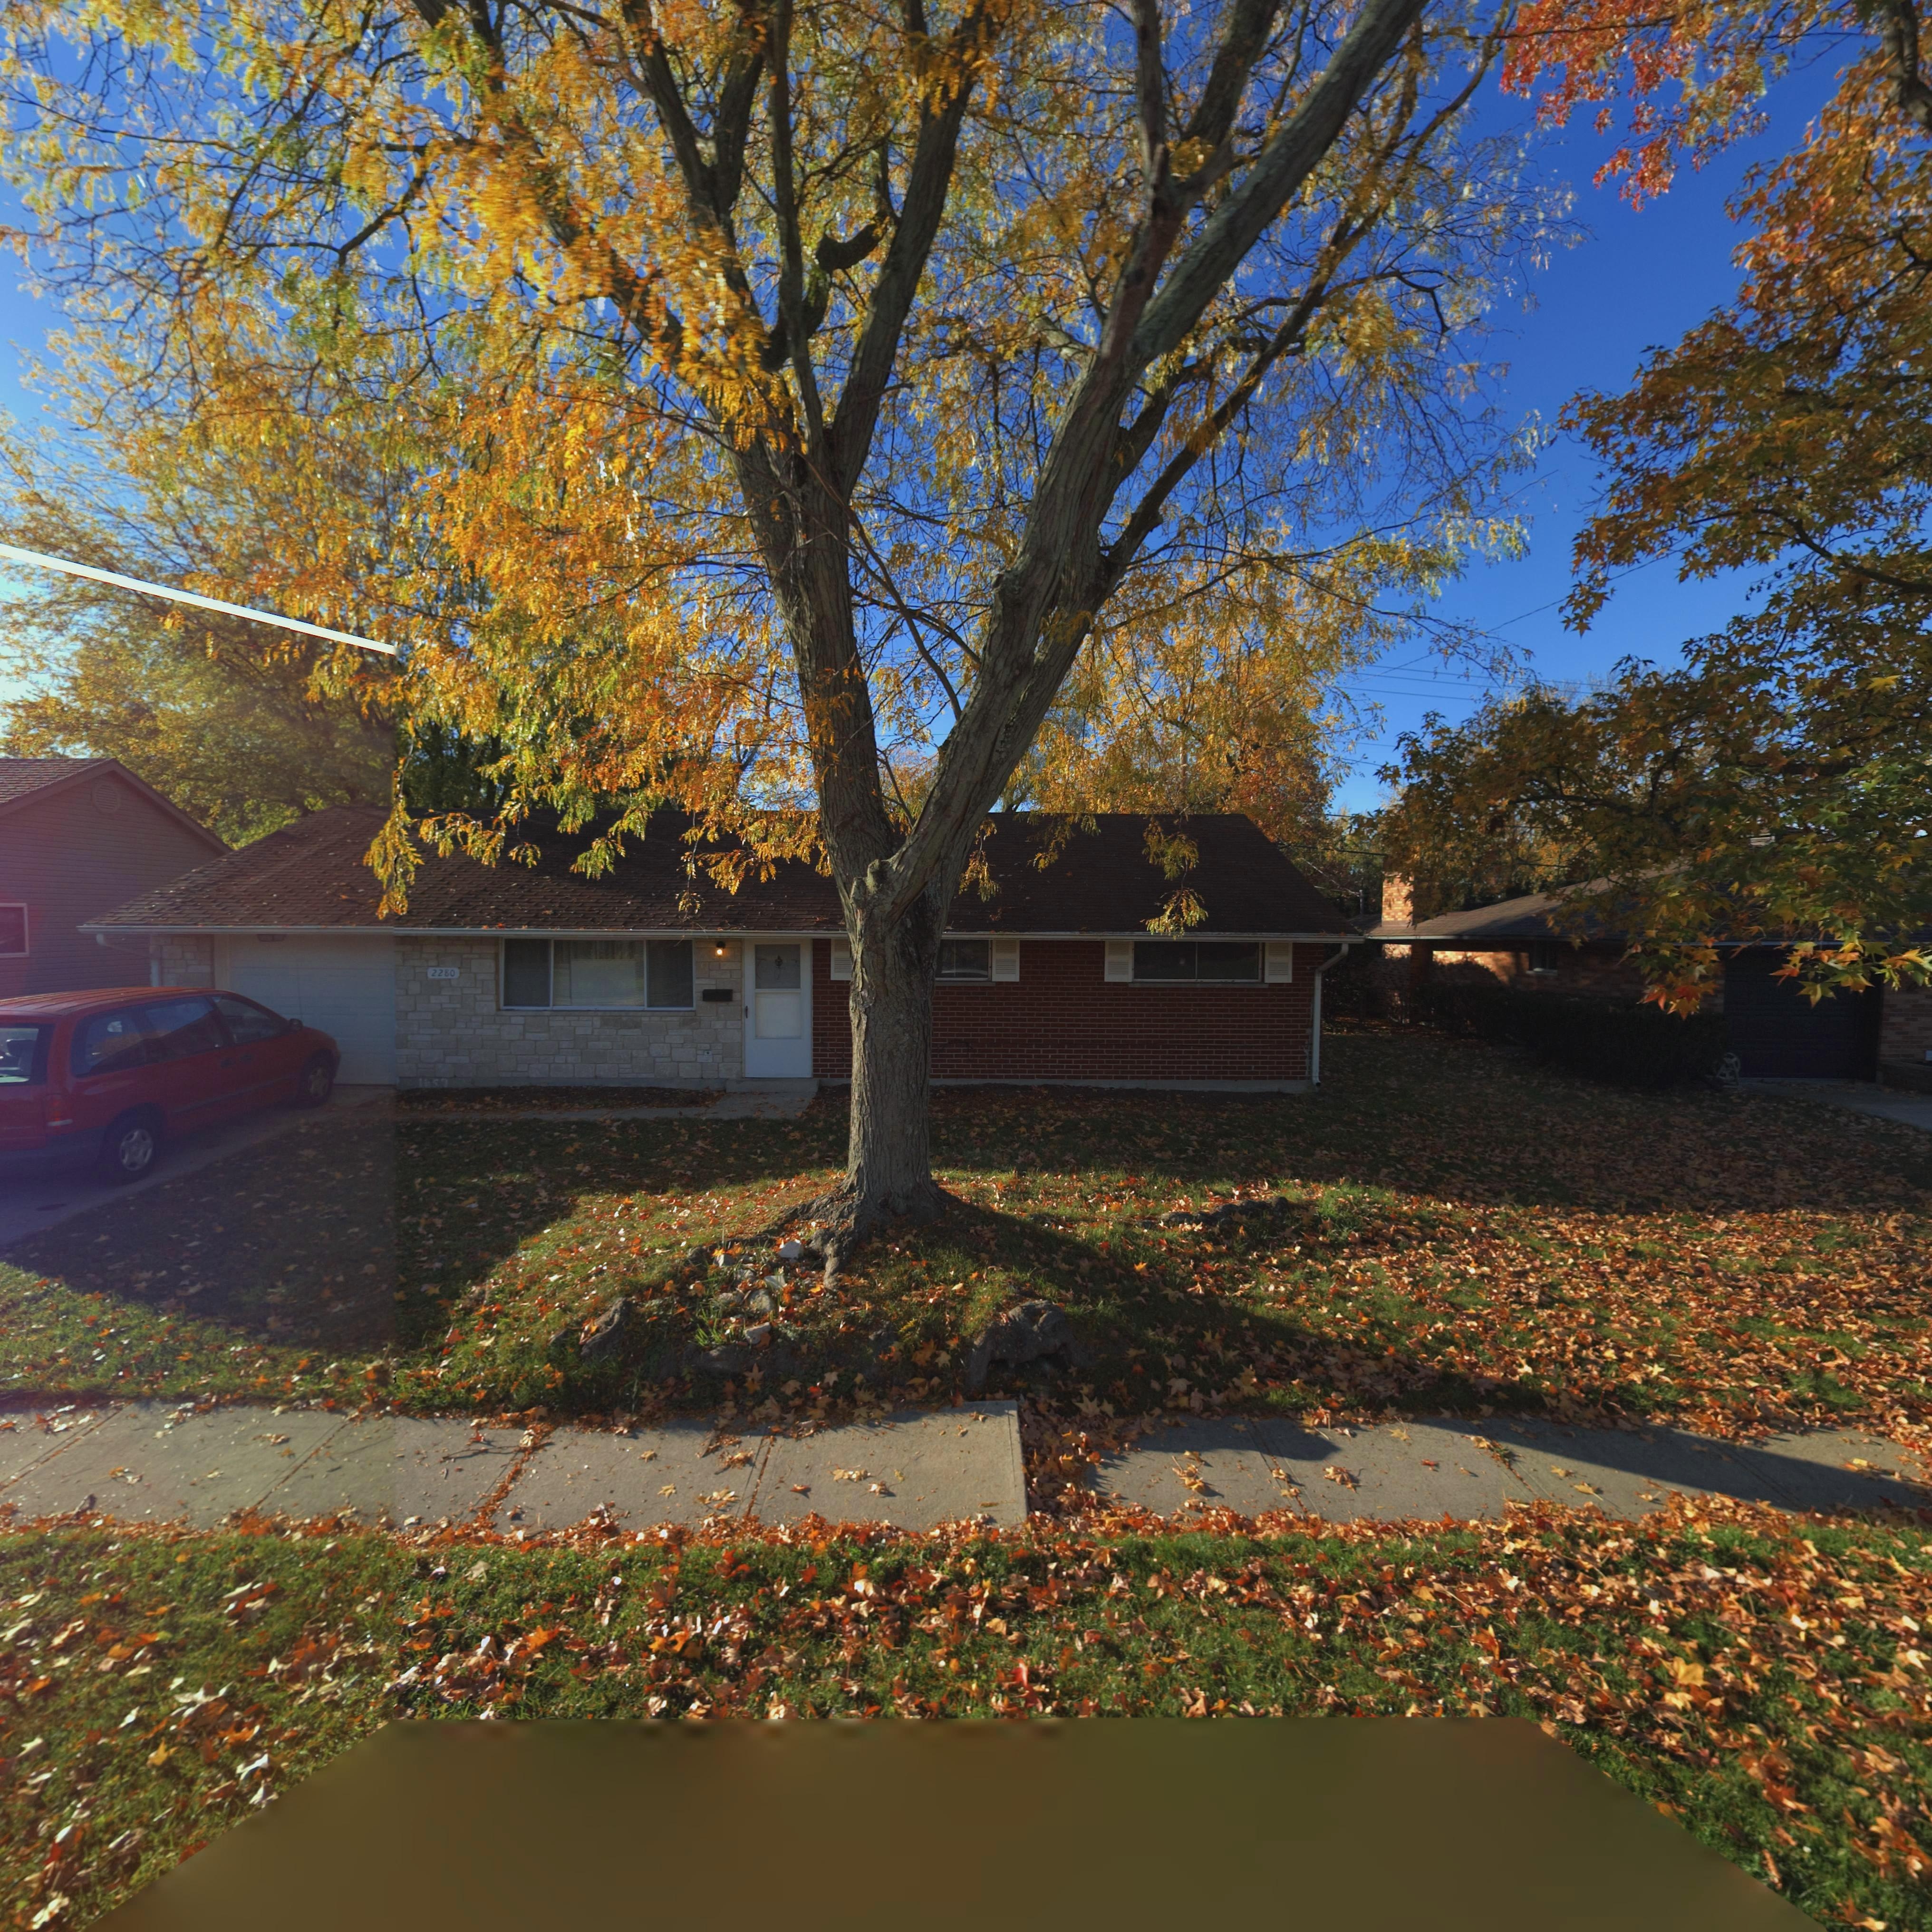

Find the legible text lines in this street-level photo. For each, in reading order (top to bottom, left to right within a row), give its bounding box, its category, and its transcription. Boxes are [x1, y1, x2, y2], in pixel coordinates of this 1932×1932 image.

[431, 968, 456, 977] StreetNumber: 2280